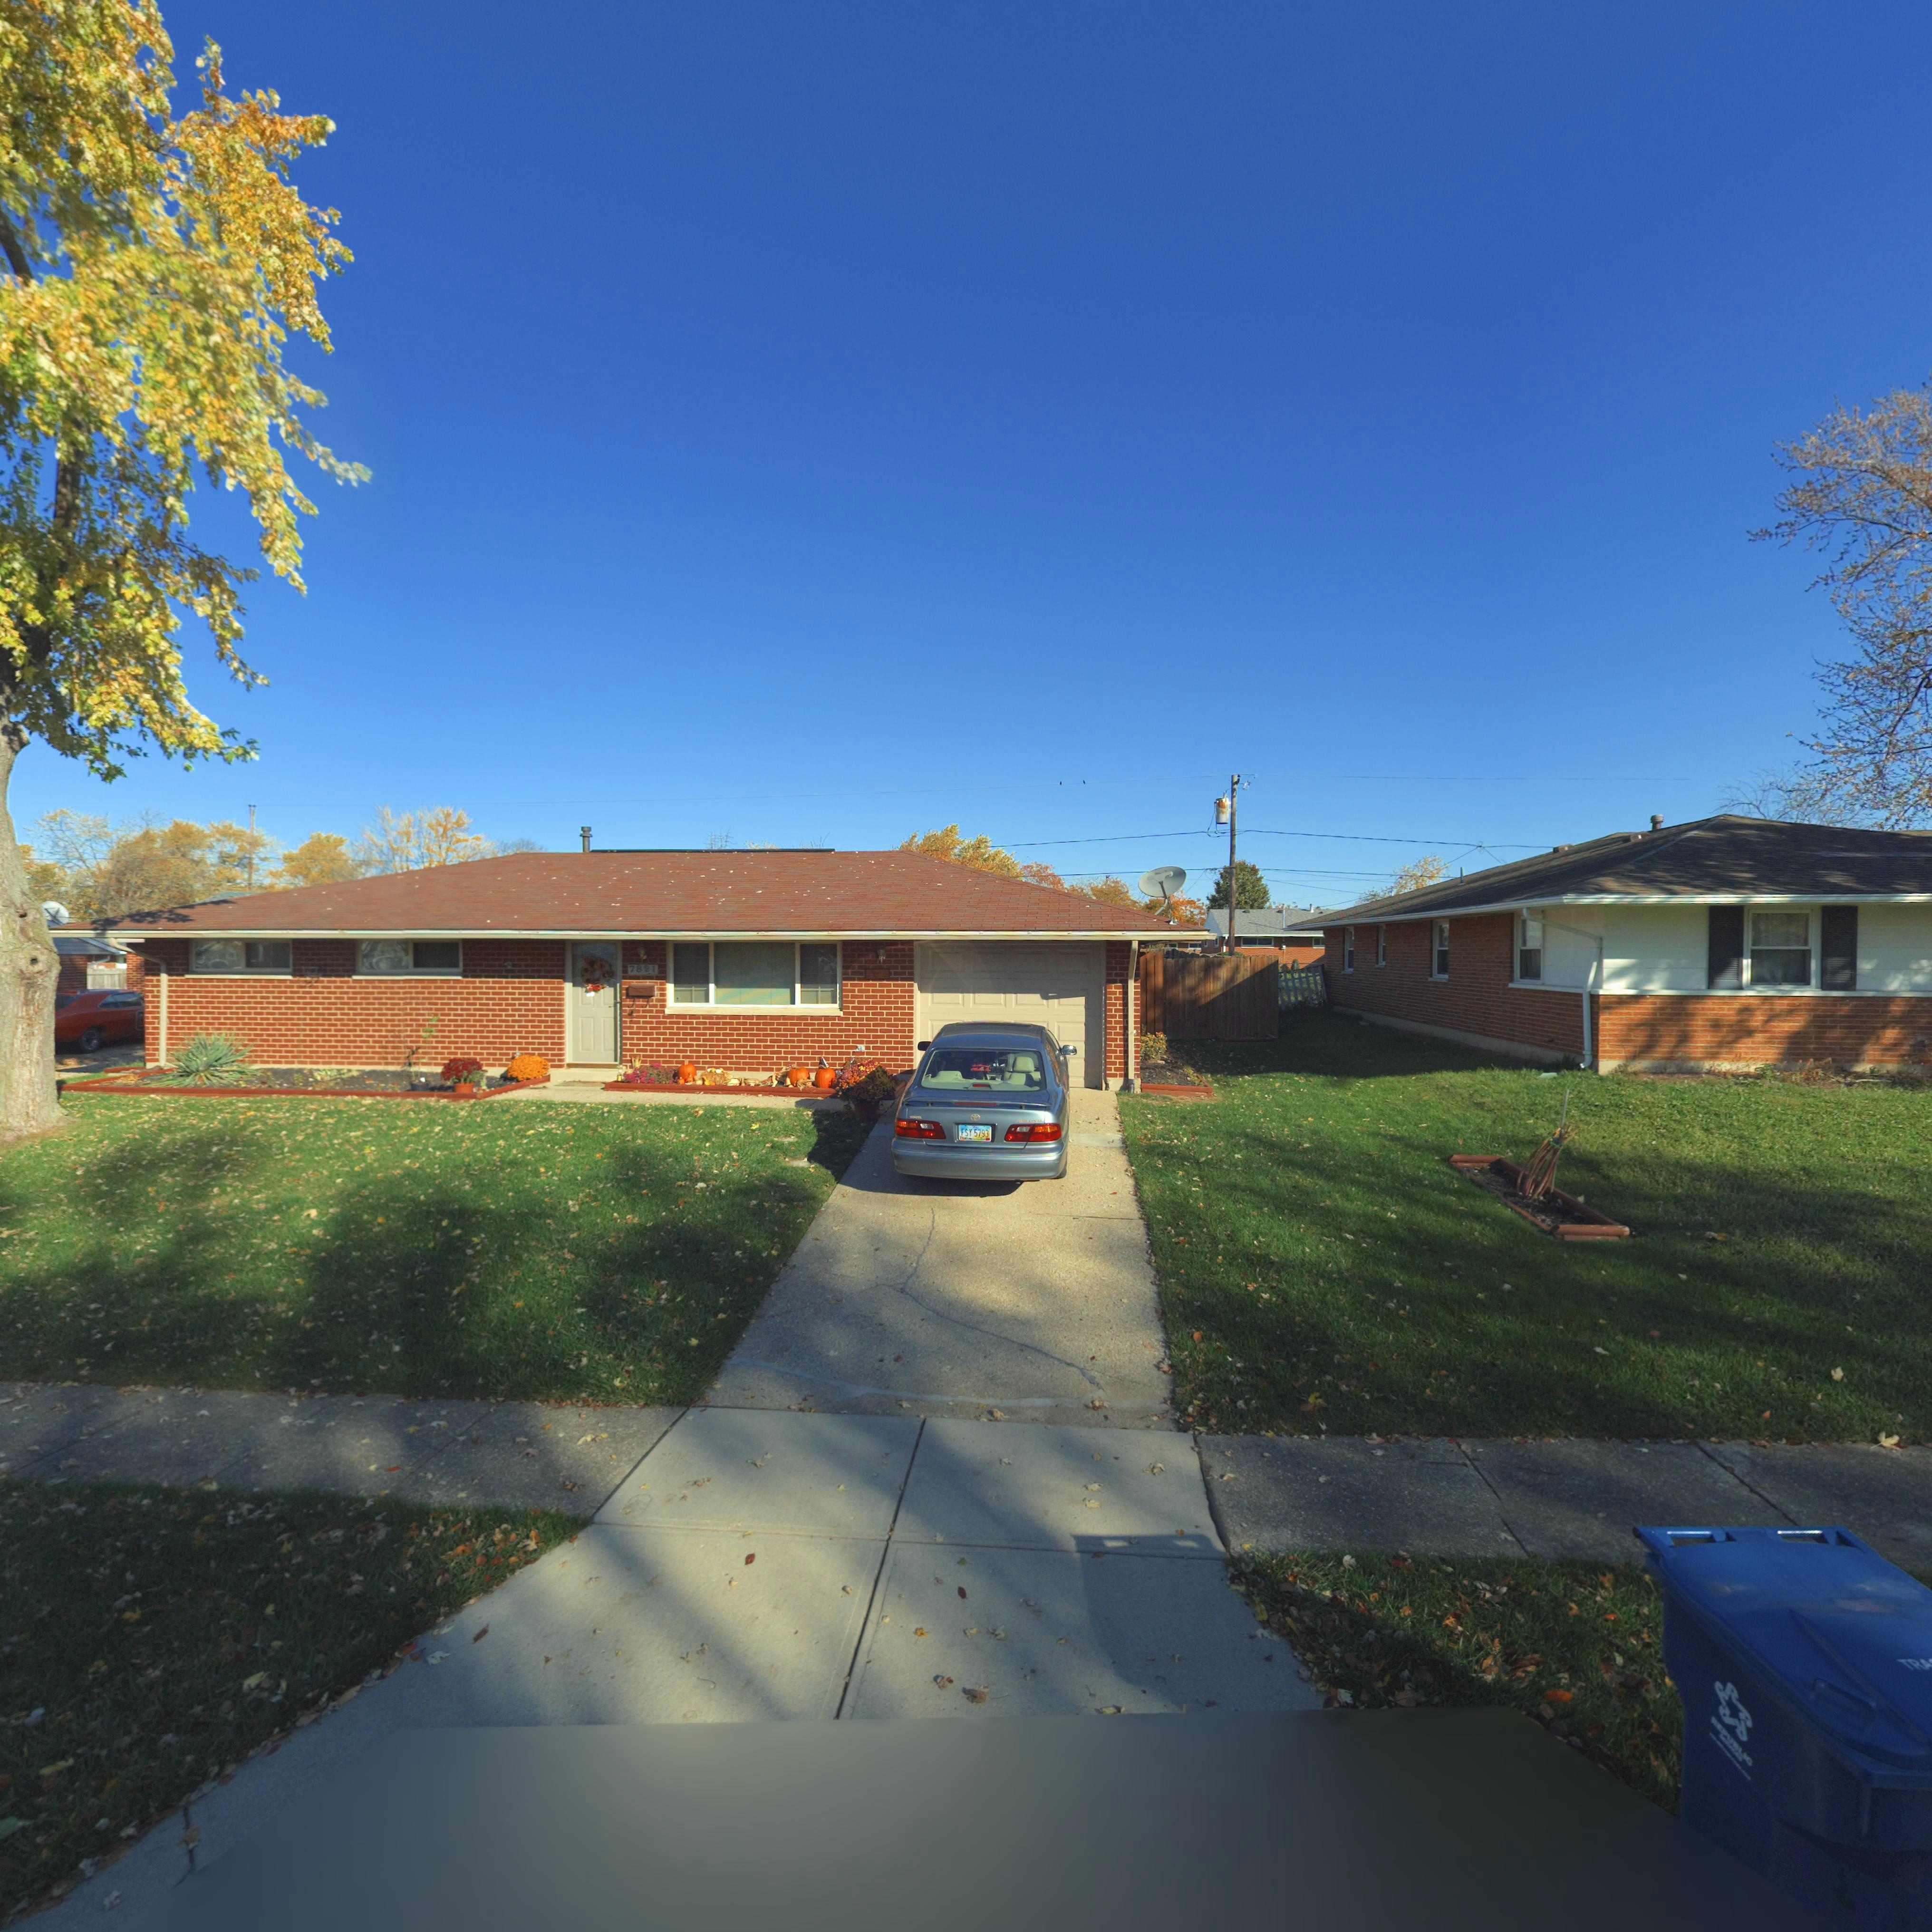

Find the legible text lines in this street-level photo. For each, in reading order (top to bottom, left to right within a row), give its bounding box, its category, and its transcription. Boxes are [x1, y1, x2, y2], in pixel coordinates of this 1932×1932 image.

[628, 965, 657, 973] StreetNumber: 7821